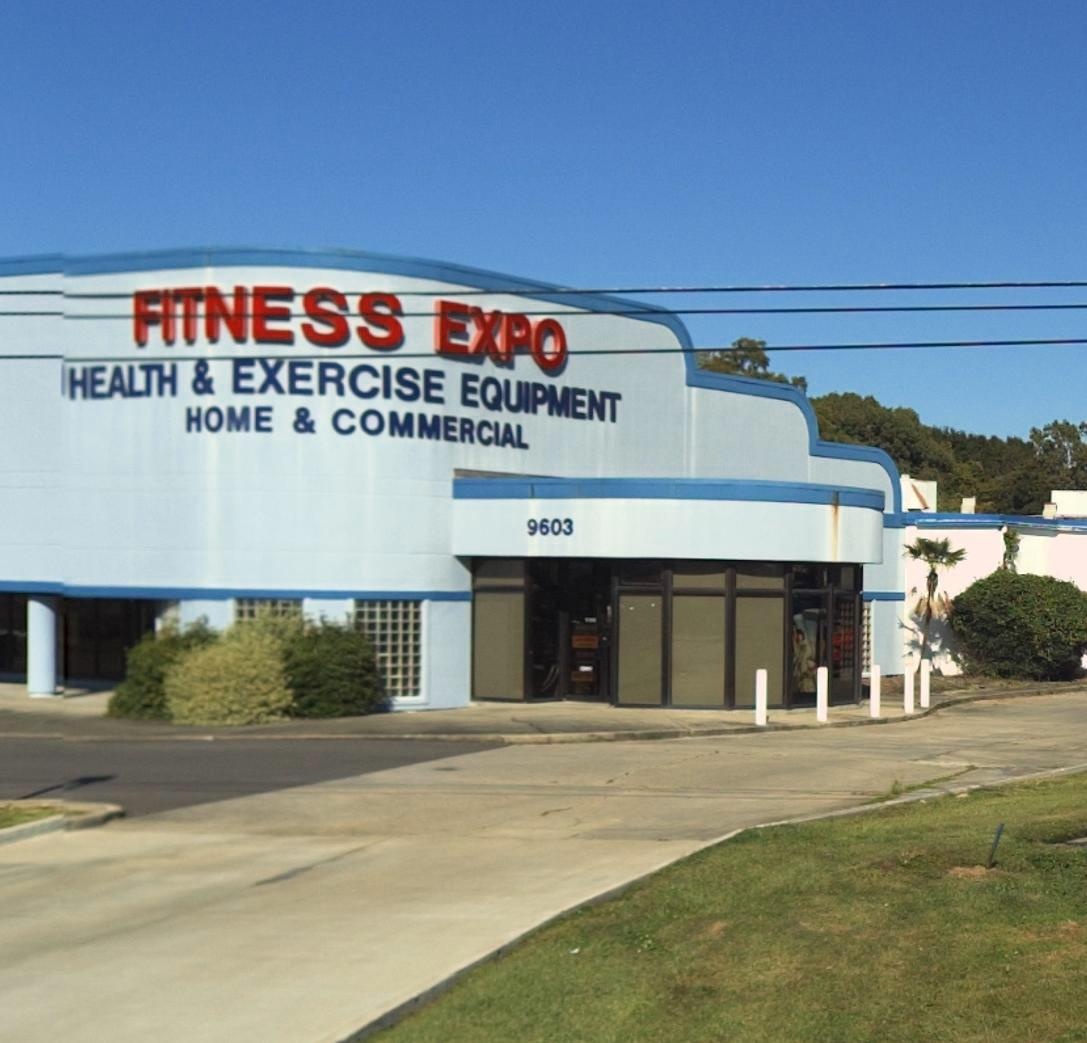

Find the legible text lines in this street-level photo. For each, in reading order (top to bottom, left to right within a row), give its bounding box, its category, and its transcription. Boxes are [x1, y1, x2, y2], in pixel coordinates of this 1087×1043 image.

[132, 283, 569, 371] BusinessName: FITNESS EXPO
[67, 356, 623, 425] None: HEALTH & EXERCISE EQUIPMENT
[184, 405, 531, 451] None: HOME & COMMERCIAL
[526, 517, 575, 536] StreetNumber: 9603